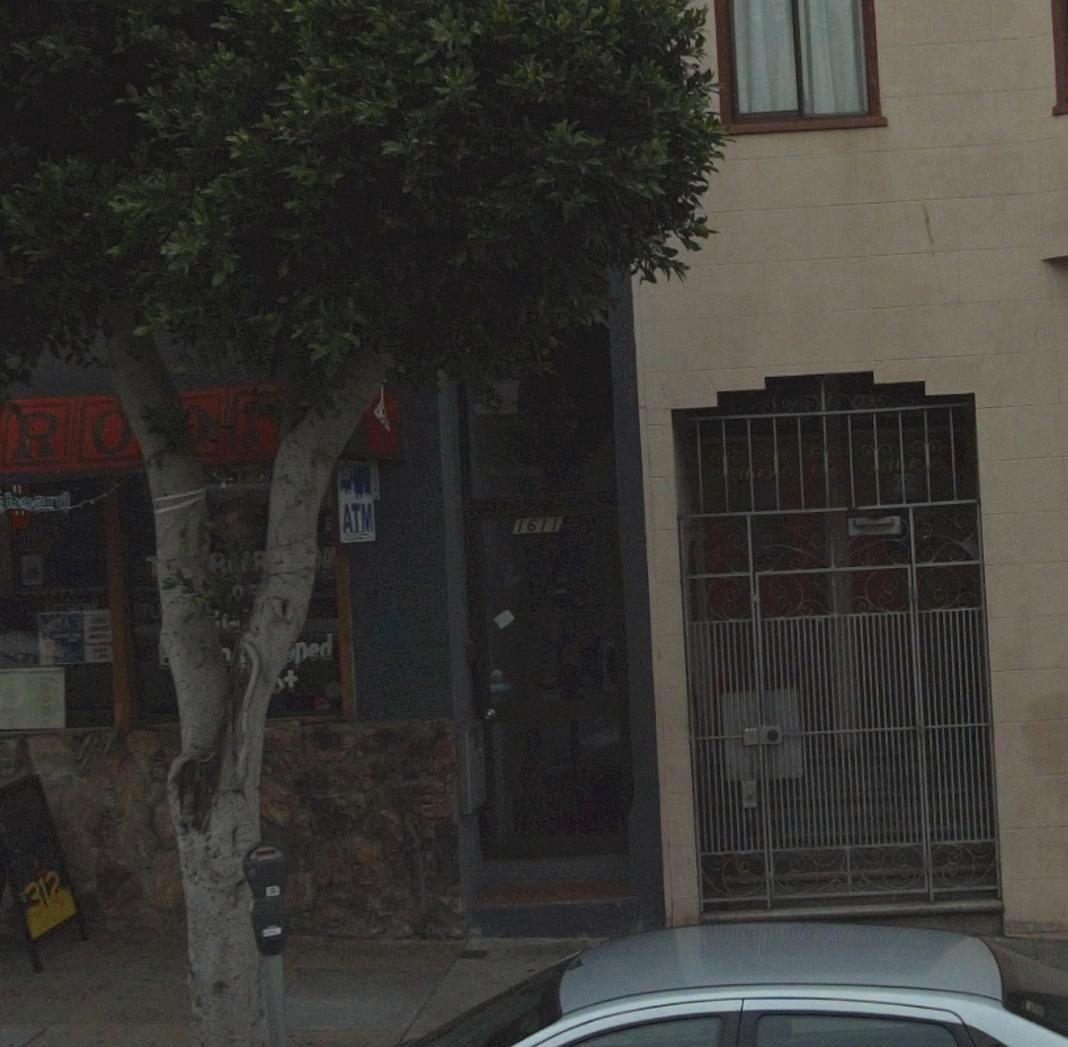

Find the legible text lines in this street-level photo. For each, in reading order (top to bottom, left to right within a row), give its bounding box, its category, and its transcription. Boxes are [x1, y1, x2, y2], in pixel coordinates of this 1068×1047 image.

[8, 409, 65, 463] BusinessName: R
[341, 500, 376, 535] None: ATM
[513, 514, 564, 534] StreetNumber: 1611
[291, 628, 337, 671] None: ped
[281, 666, 303, 696] None: t
[22, 867, 66, 917] None: 312